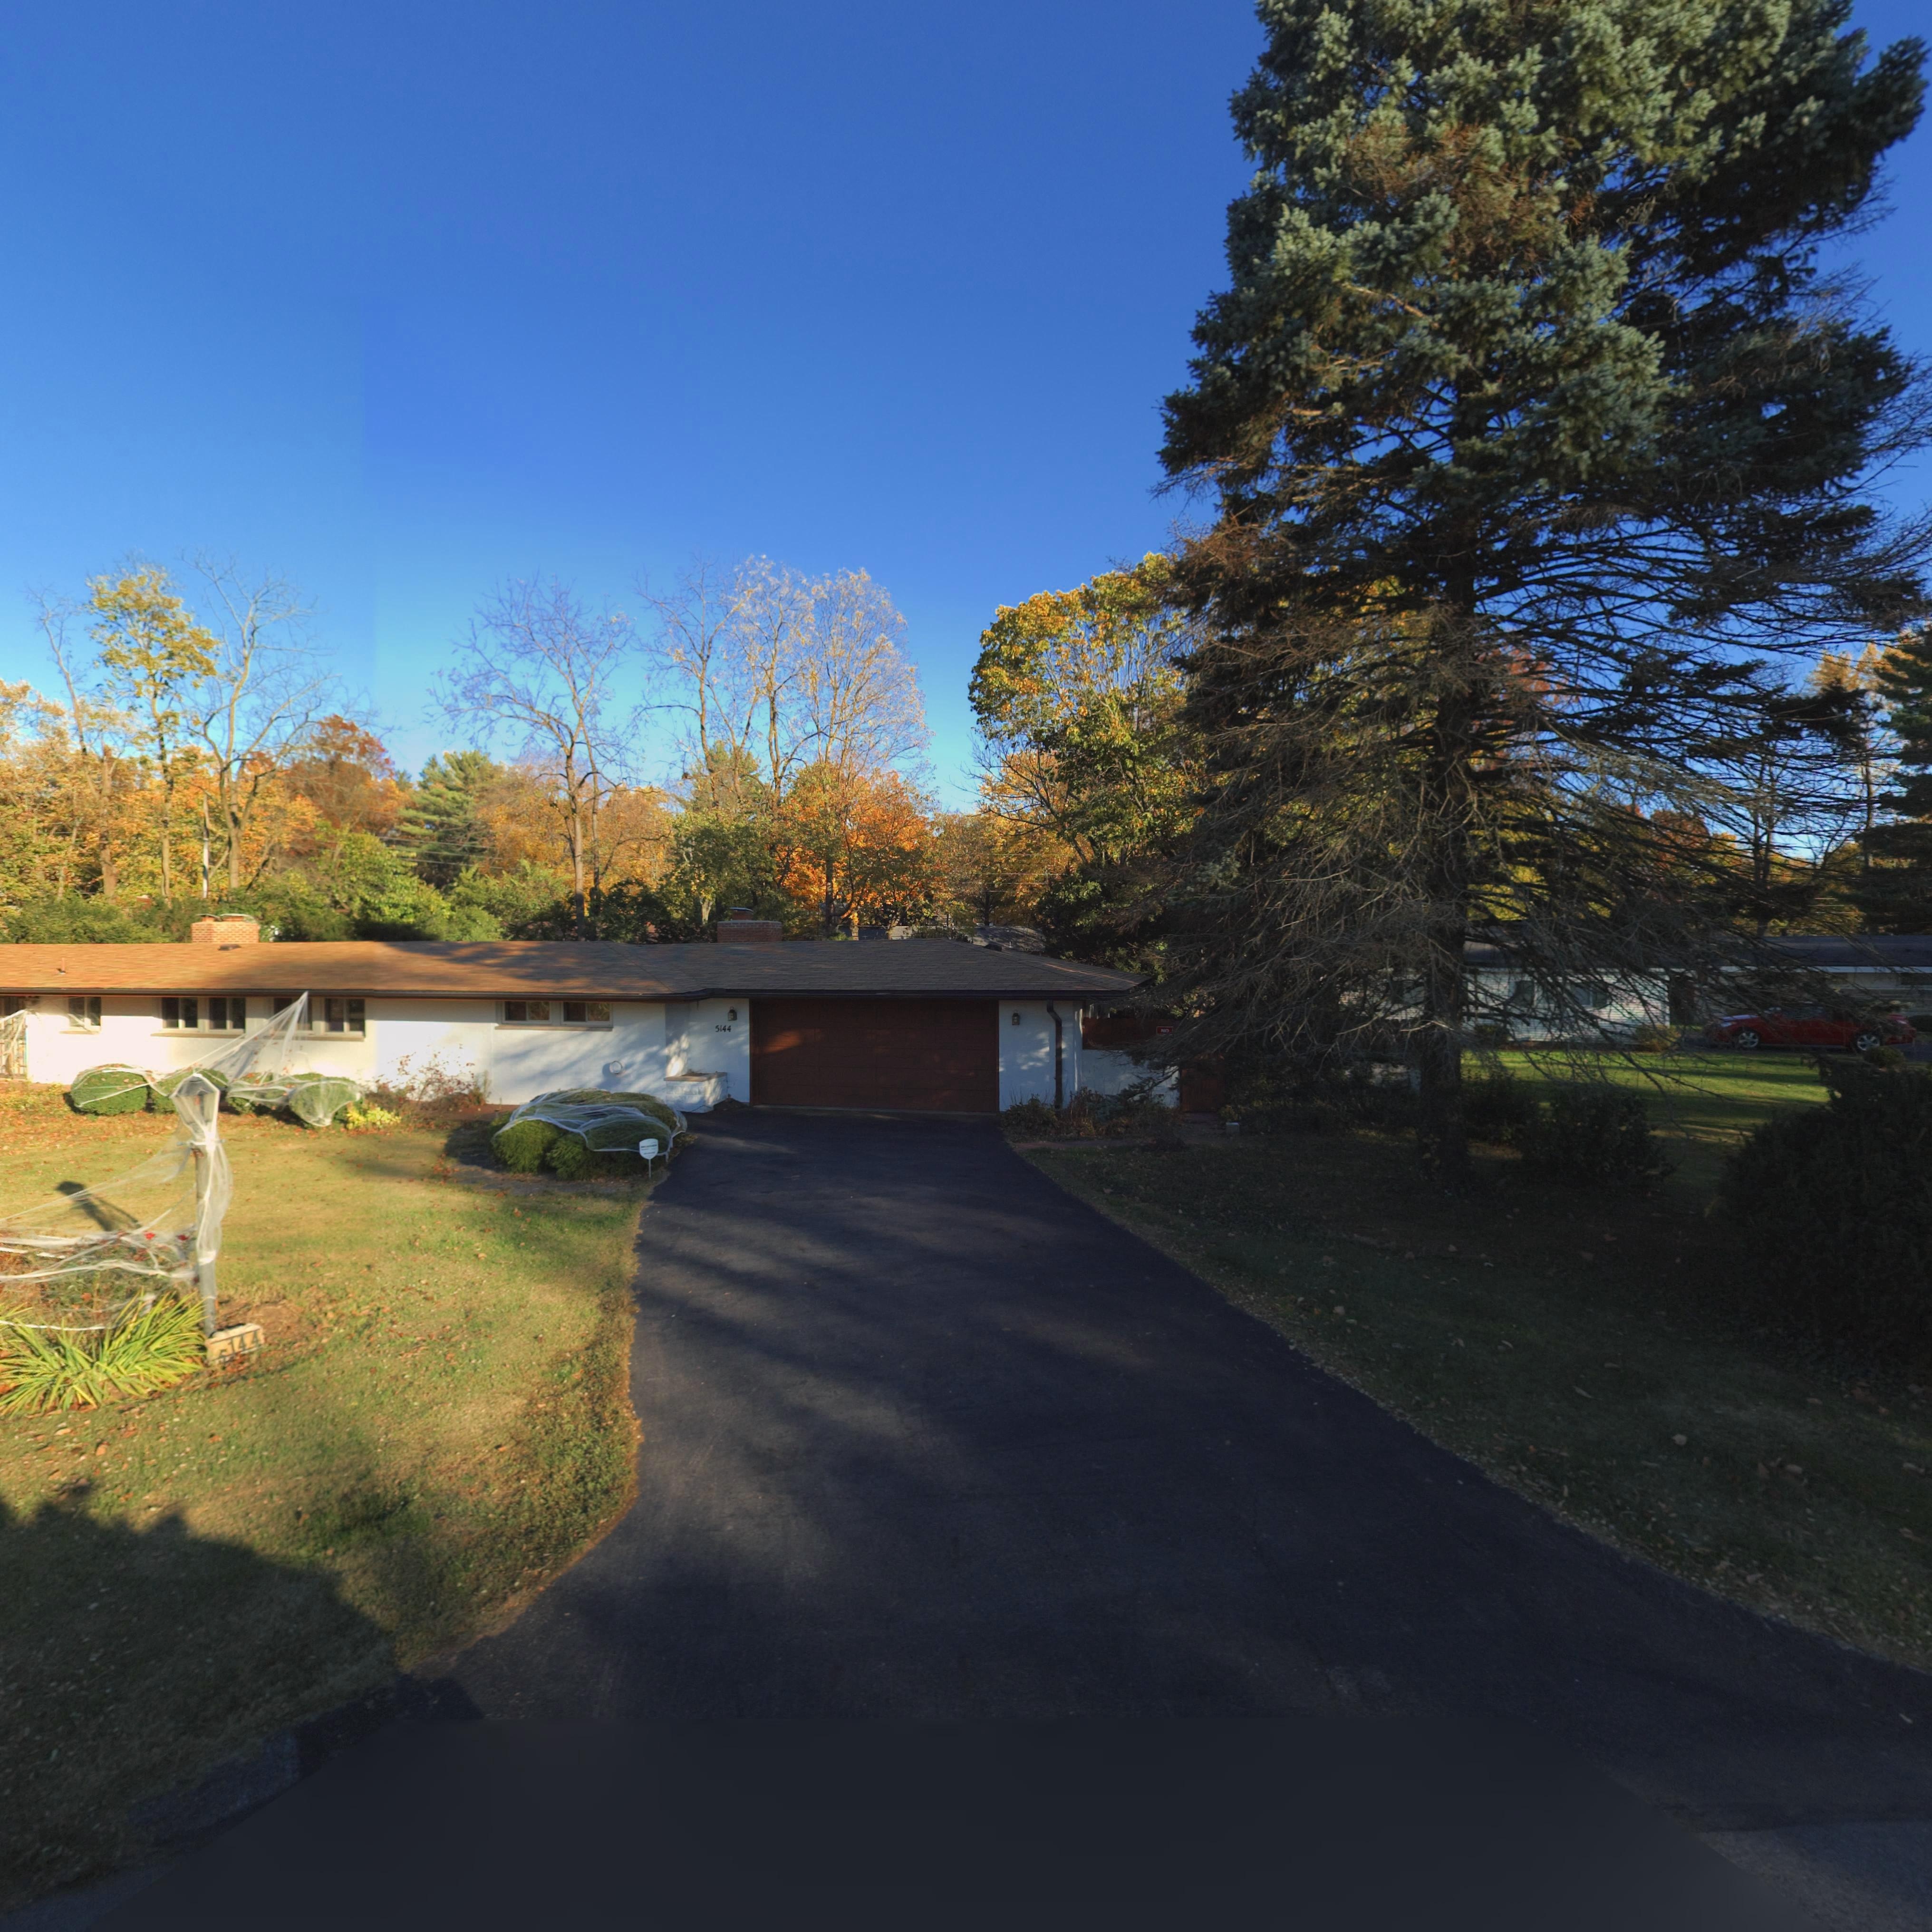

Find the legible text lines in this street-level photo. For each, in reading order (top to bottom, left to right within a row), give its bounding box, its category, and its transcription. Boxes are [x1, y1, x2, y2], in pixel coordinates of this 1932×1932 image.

[715, 1024, 732, 1033] StreetNumber: 5144
[227, 1329, 261, 1355] StreetNumber: 144